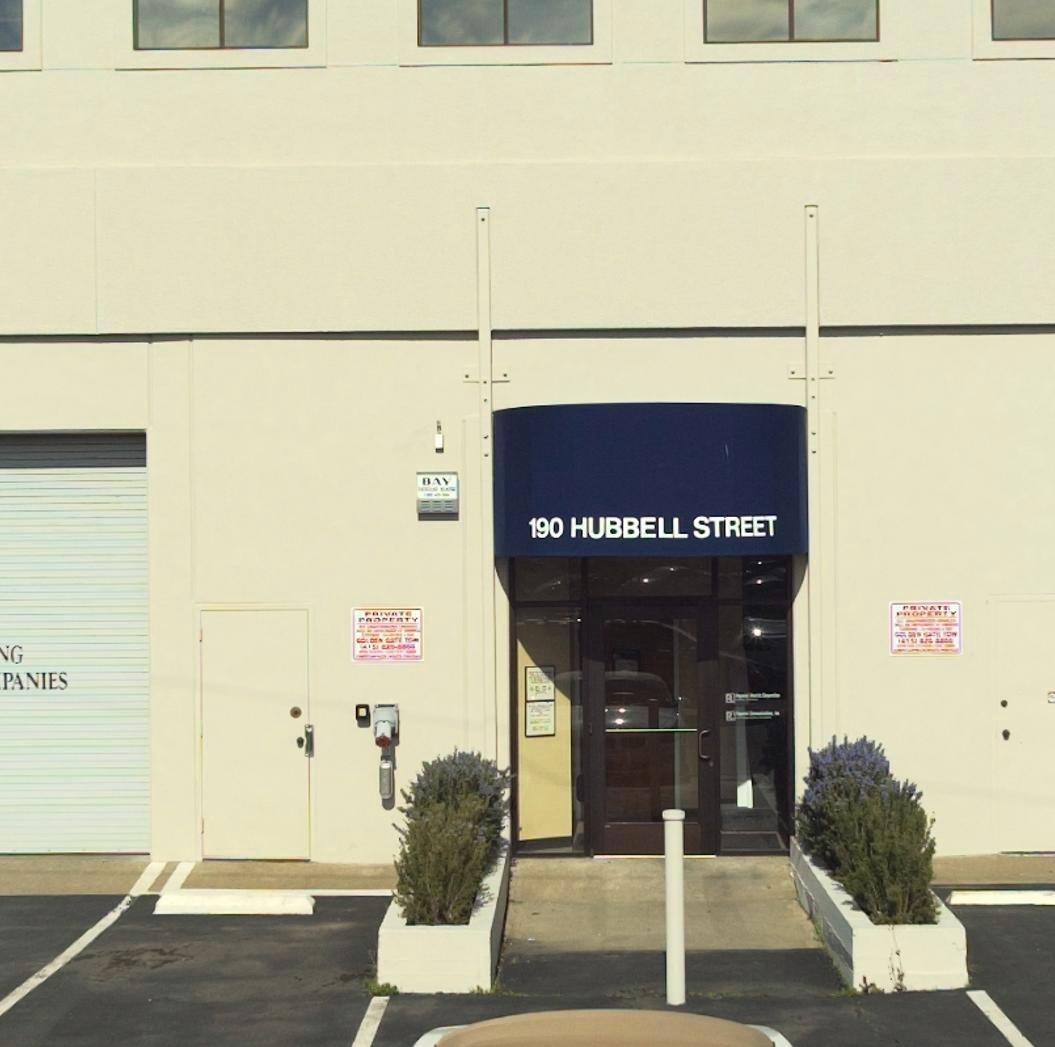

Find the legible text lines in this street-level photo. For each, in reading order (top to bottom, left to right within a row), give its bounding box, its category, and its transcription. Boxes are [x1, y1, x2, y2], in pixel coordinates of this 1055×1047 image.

[419, 474, 455, 488] None: BAY
[526, 514, 566, 541] StreetNumber: 190
[567, 511, 781, 544] StreetName: HUBBELL STREET
[8, 641, 26, 666] None: G
[0, 669, 72, 693] None: PANIES